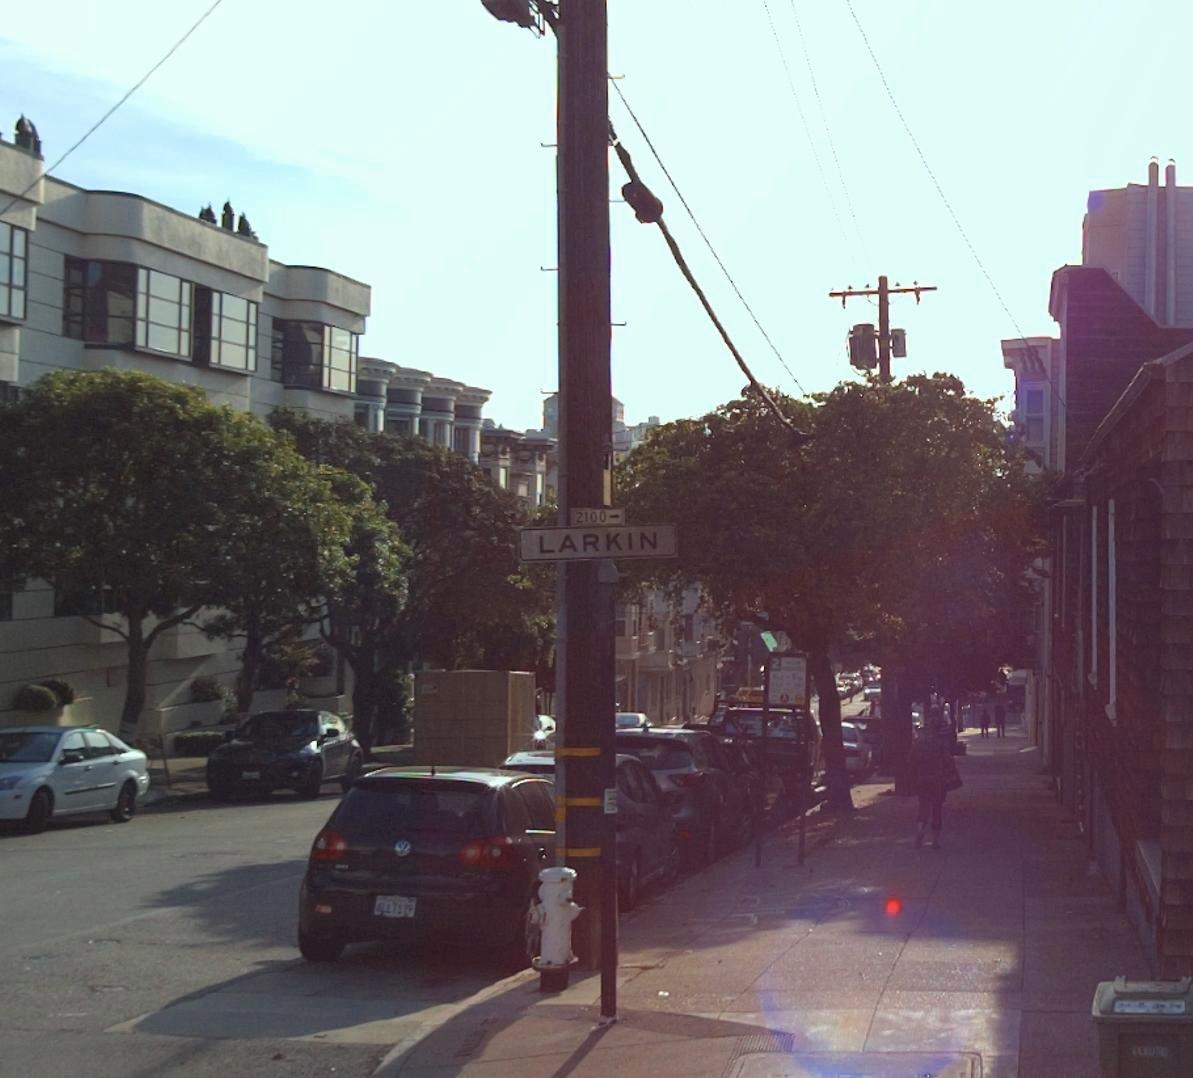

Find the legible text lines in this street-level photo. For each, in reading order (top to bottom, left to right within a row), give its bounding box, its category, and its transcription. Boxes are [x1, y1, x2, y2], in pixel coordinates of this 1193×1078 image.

[573, 507, 625, 526] StreetNumberRange: 2100->
[536, 528, 661, 557] StreetName: LARKIN
[769, 654, 782, 672] None: 2